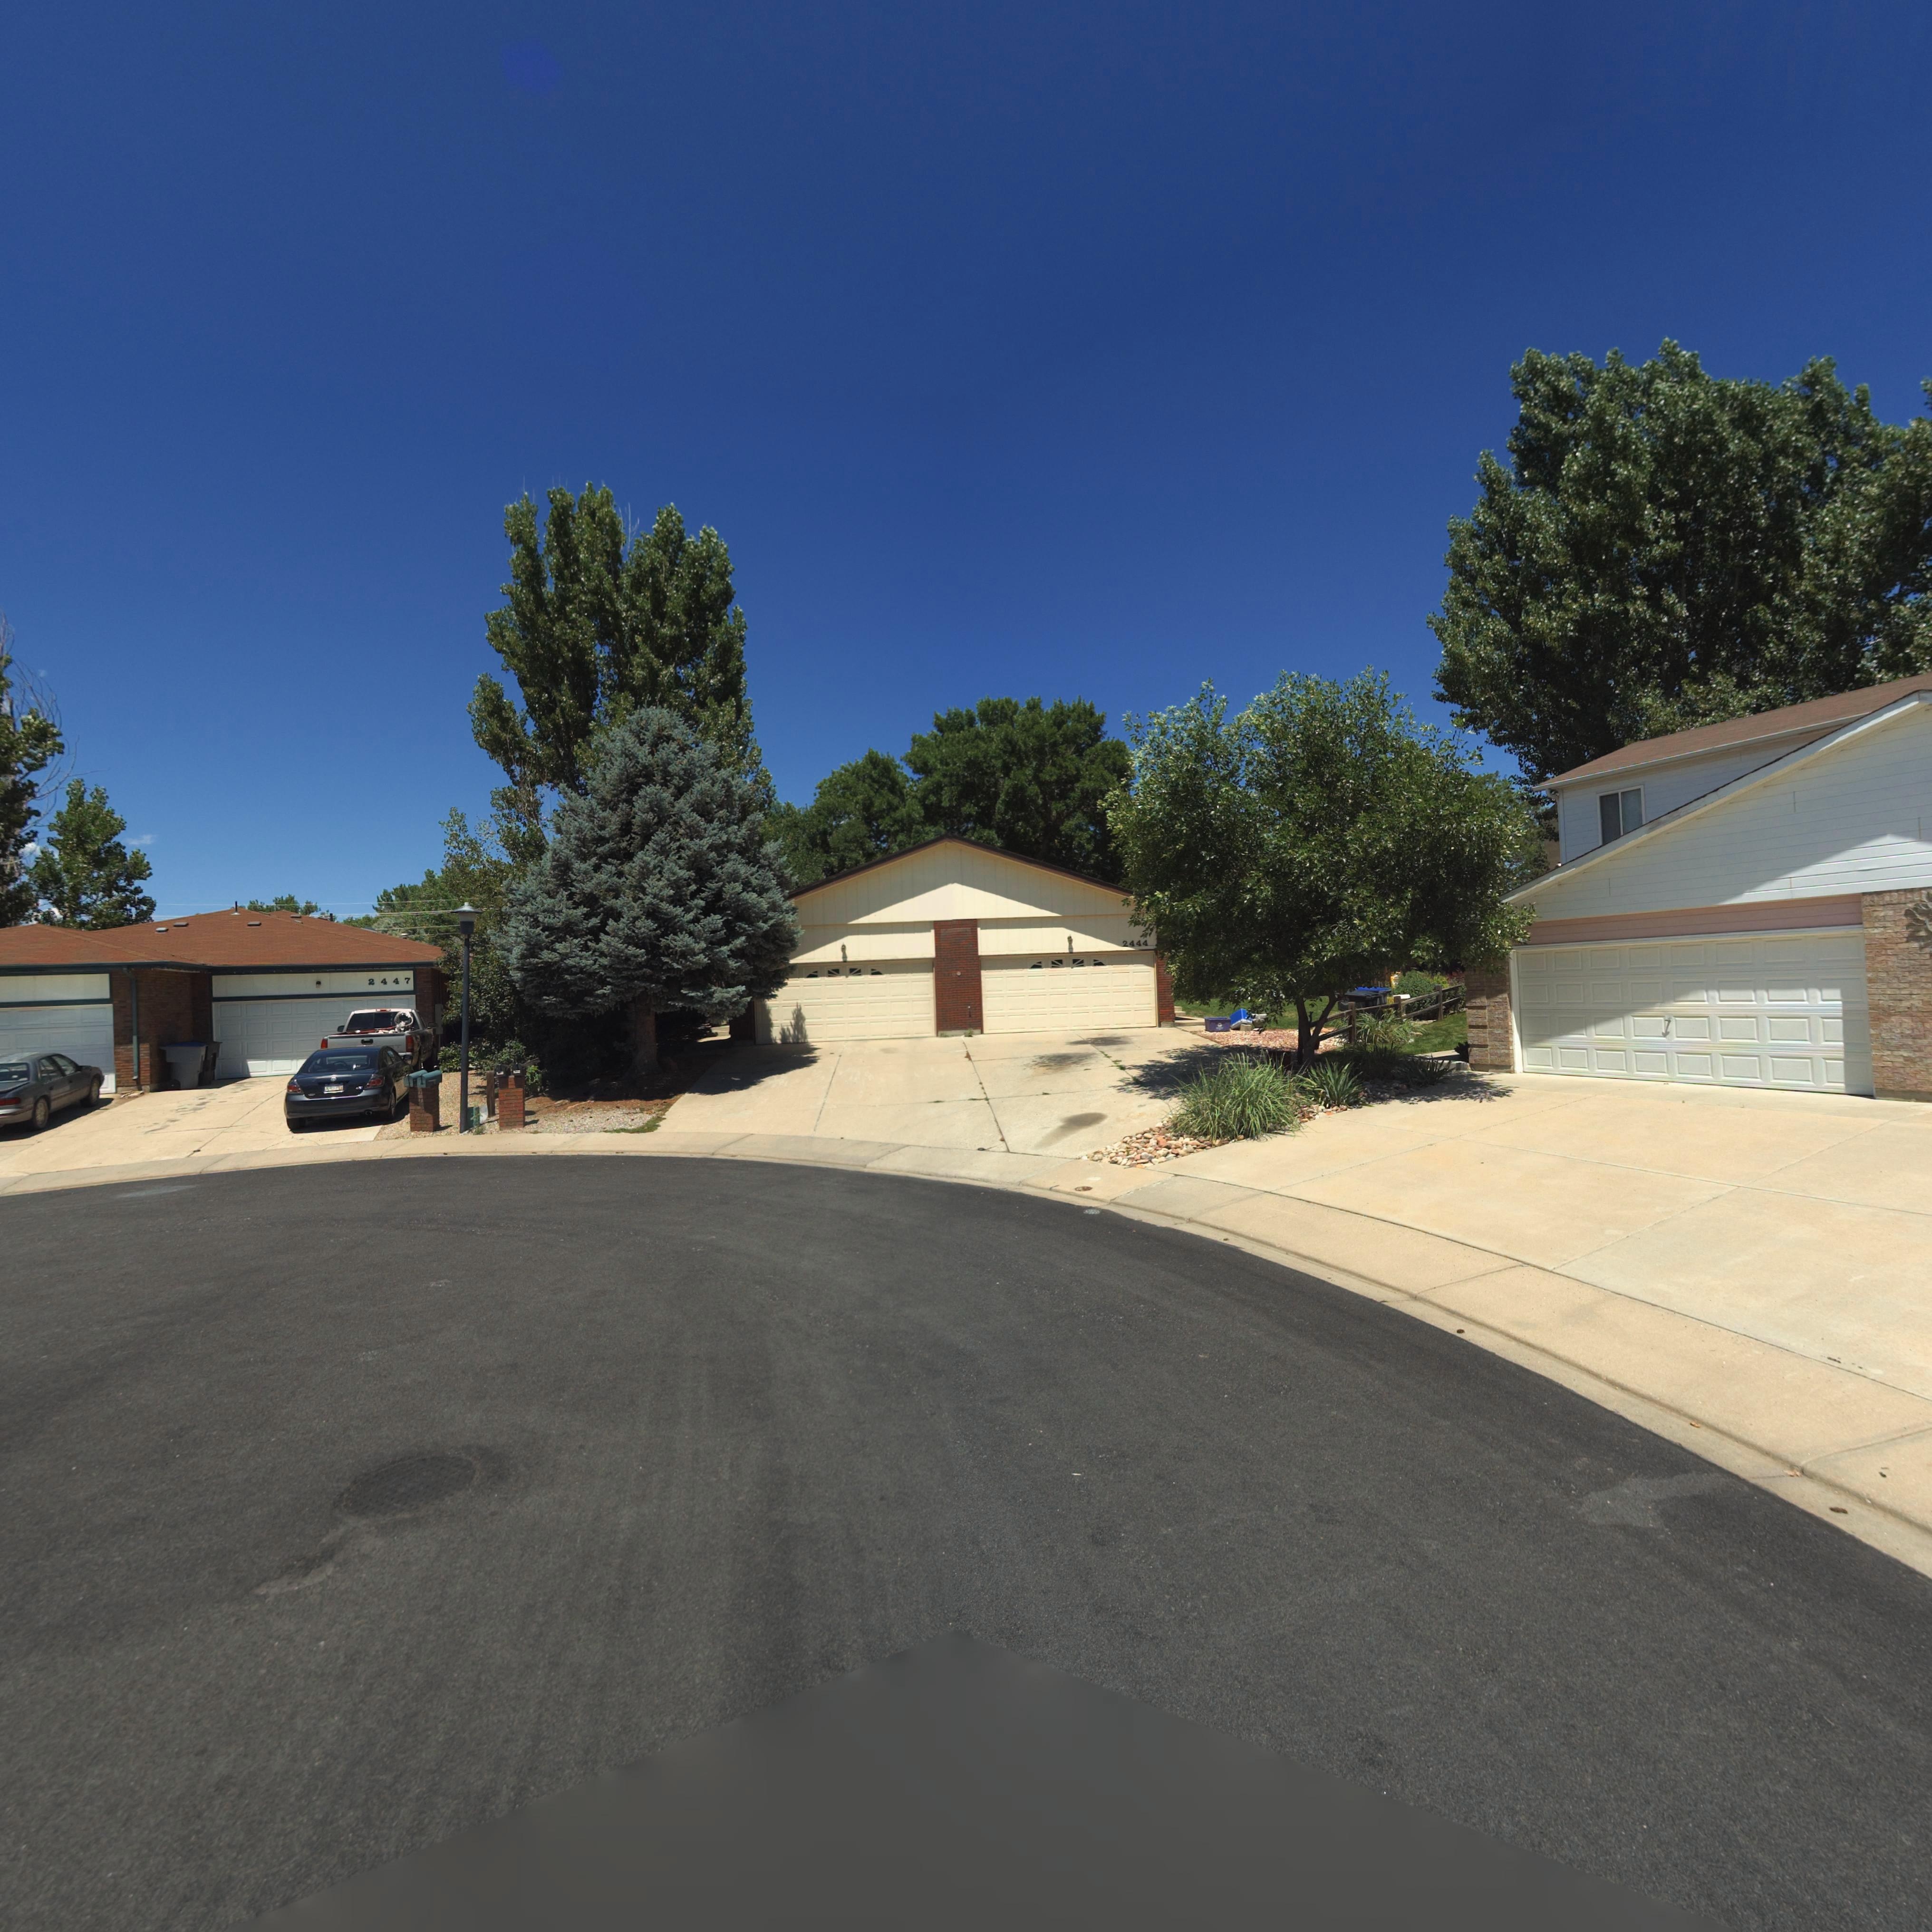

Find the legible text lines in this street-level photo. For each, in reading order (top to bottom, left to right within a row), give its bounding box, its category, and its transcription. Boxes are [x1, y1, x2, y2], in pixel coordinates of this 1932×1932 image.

[1122, 940, 1148, 947] StreetNumber: 2444
[368, 977, 410, 985] StreetNumber: 2447